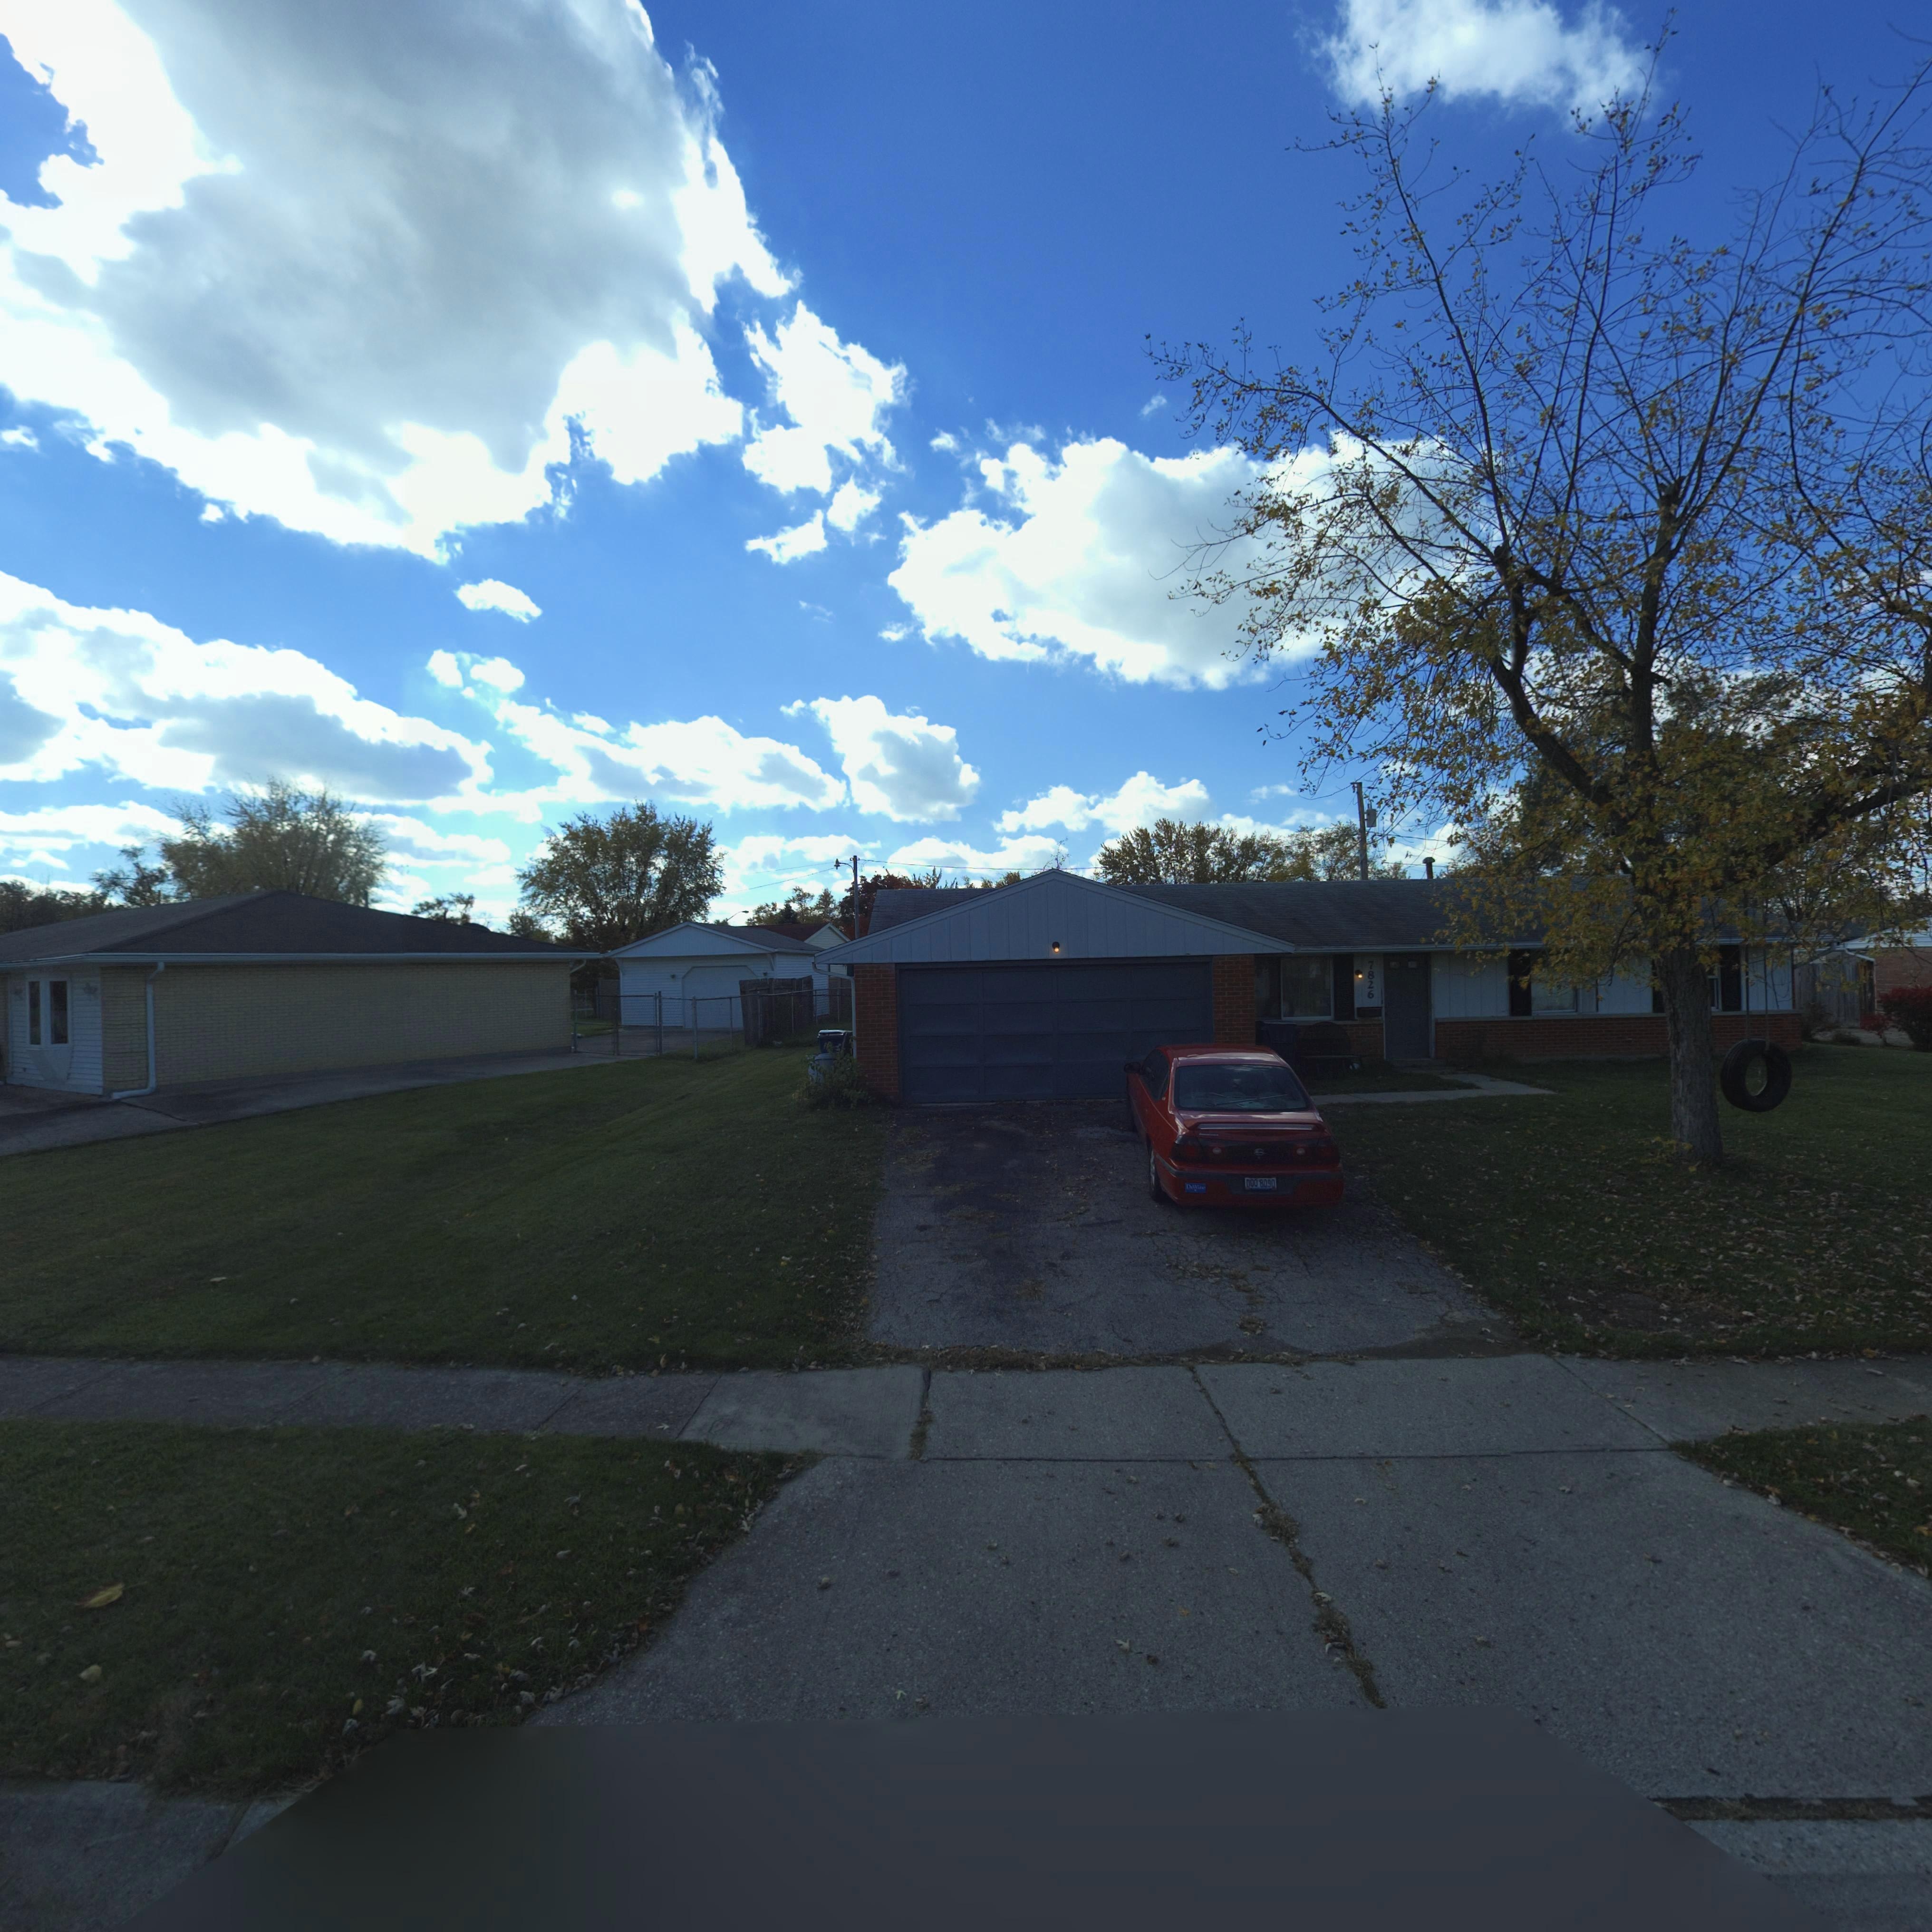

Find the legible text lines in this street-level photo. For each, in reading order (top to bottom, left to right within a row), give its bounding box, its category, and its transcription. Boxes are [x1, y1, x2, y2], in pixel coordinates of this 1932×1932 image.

[1366, 960, 1374, 999] StreetNumber: 7826